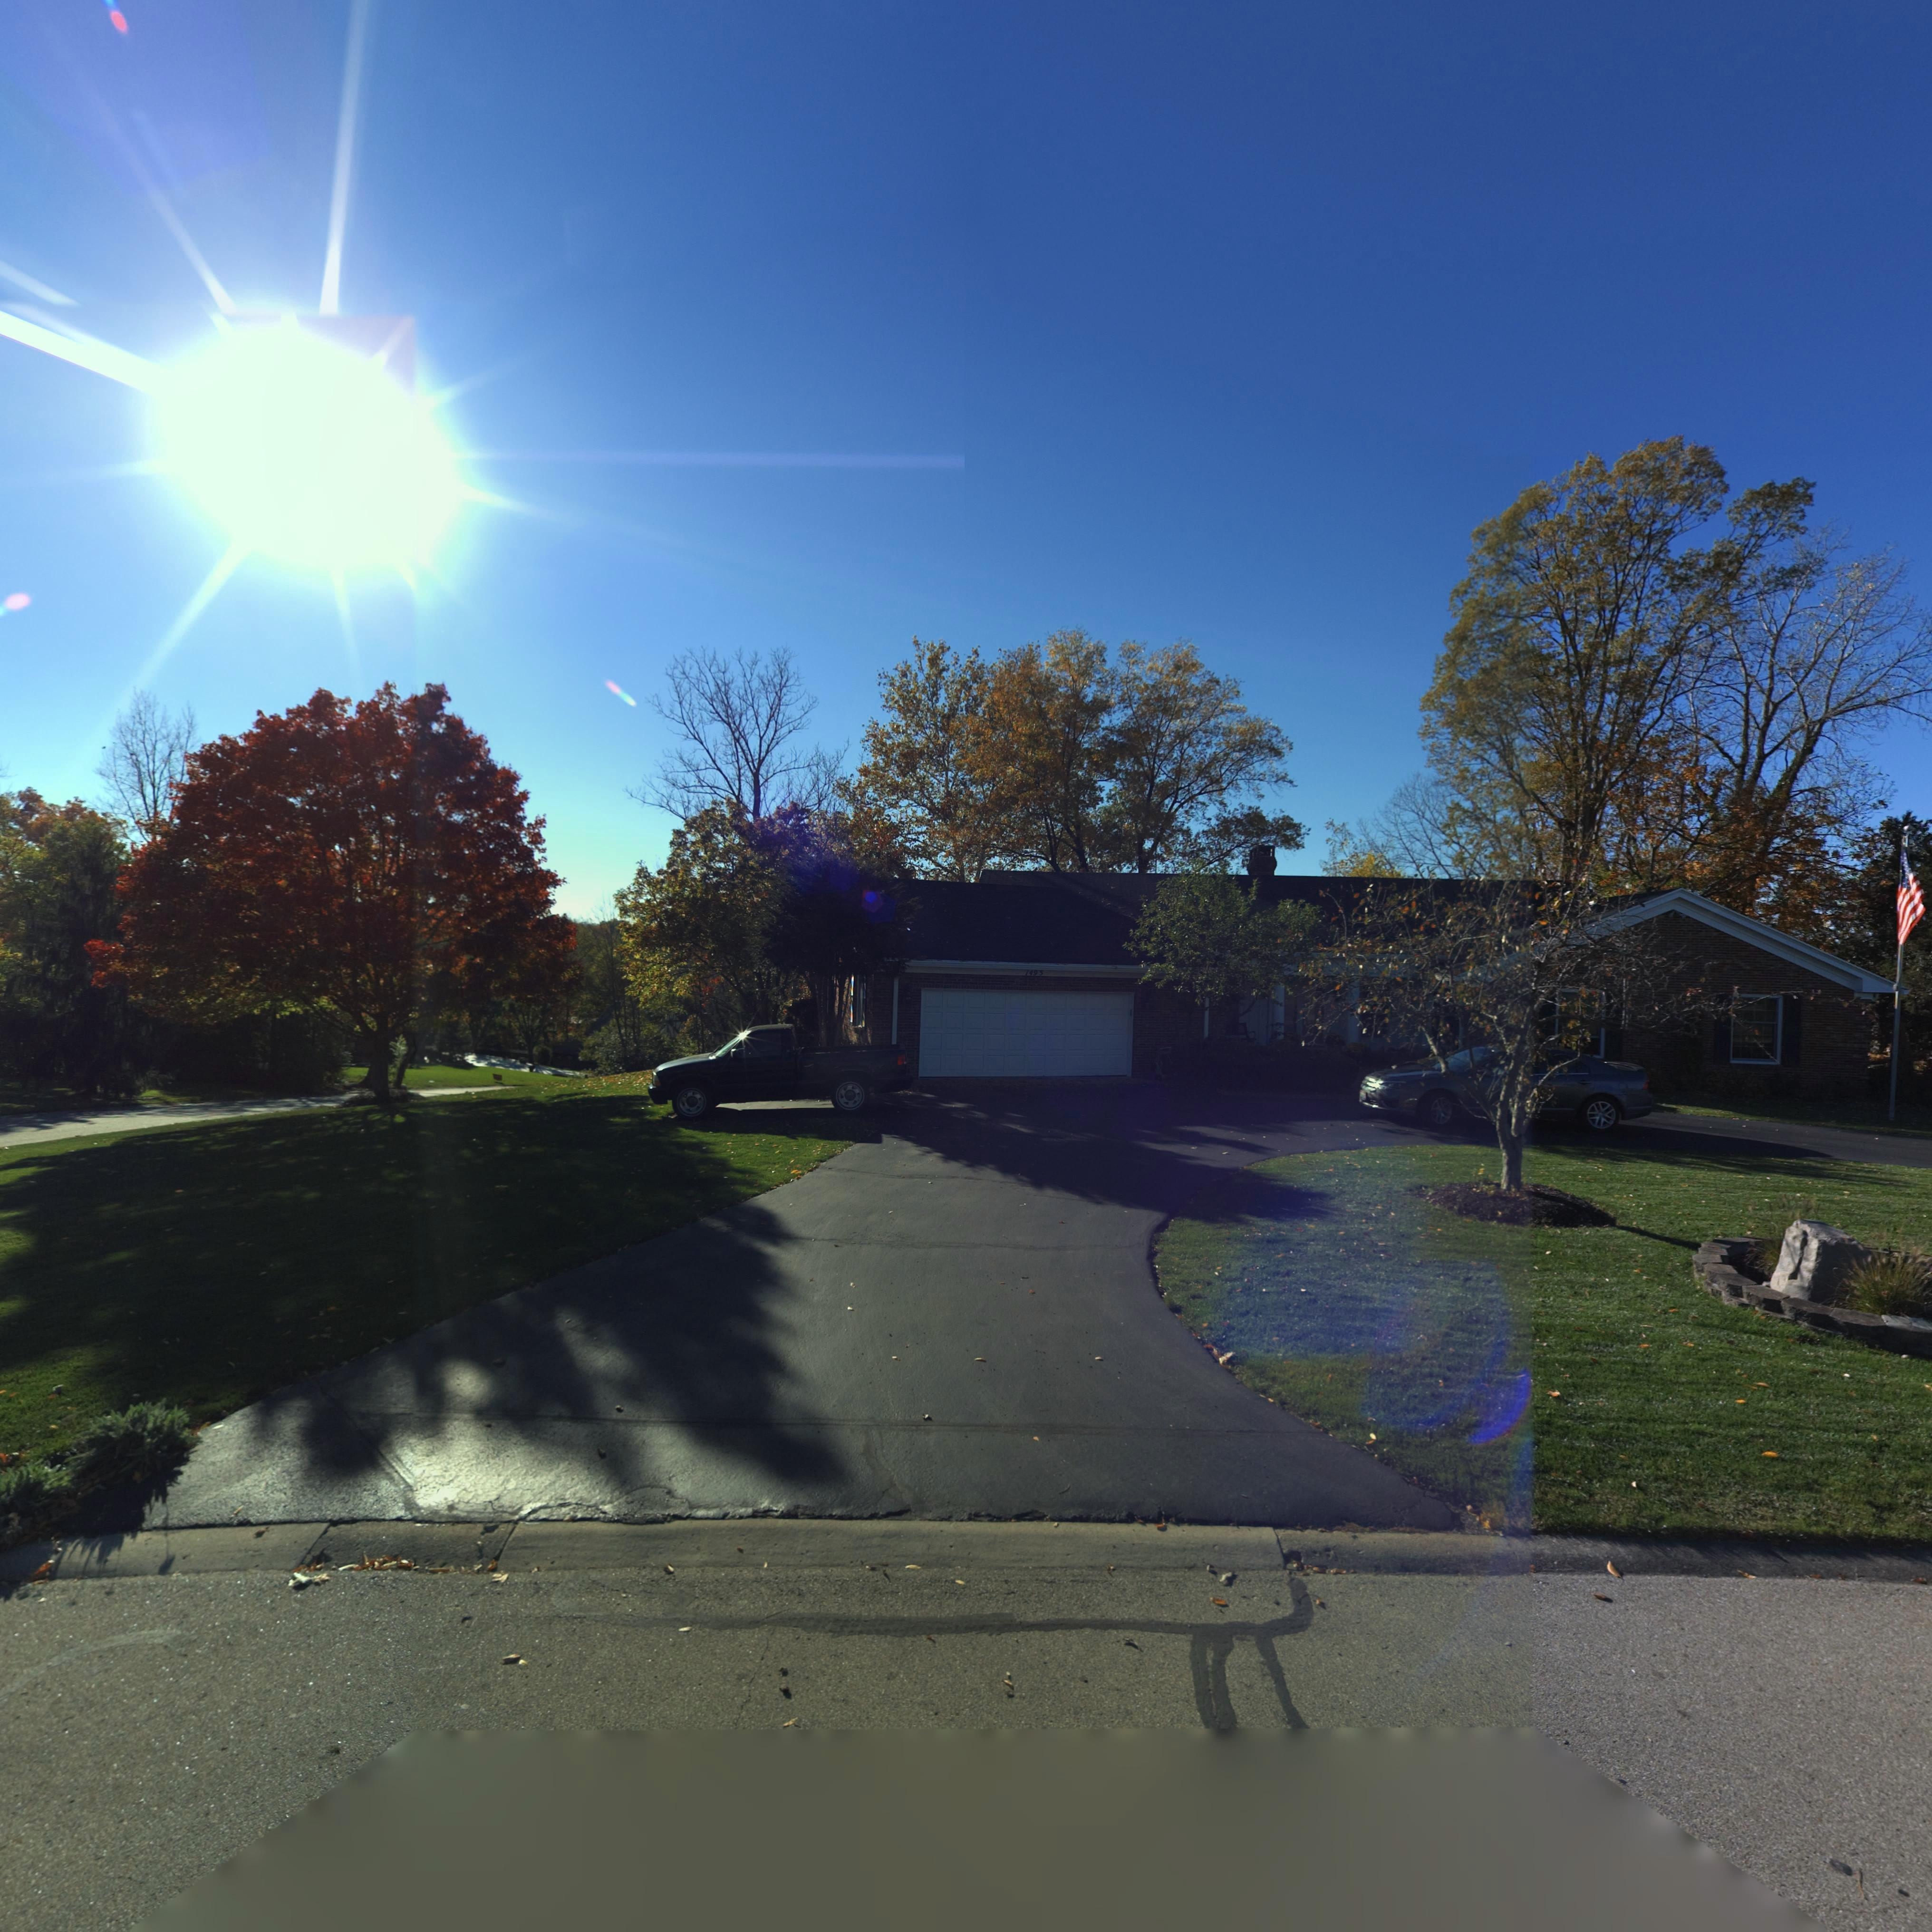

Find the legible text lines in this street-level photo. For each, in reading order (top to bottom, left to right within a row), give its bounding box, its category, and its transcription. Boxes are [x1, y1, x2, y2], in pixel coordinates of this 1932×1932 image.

[1024, 969, 1043, 976] StreetNumber: 1495